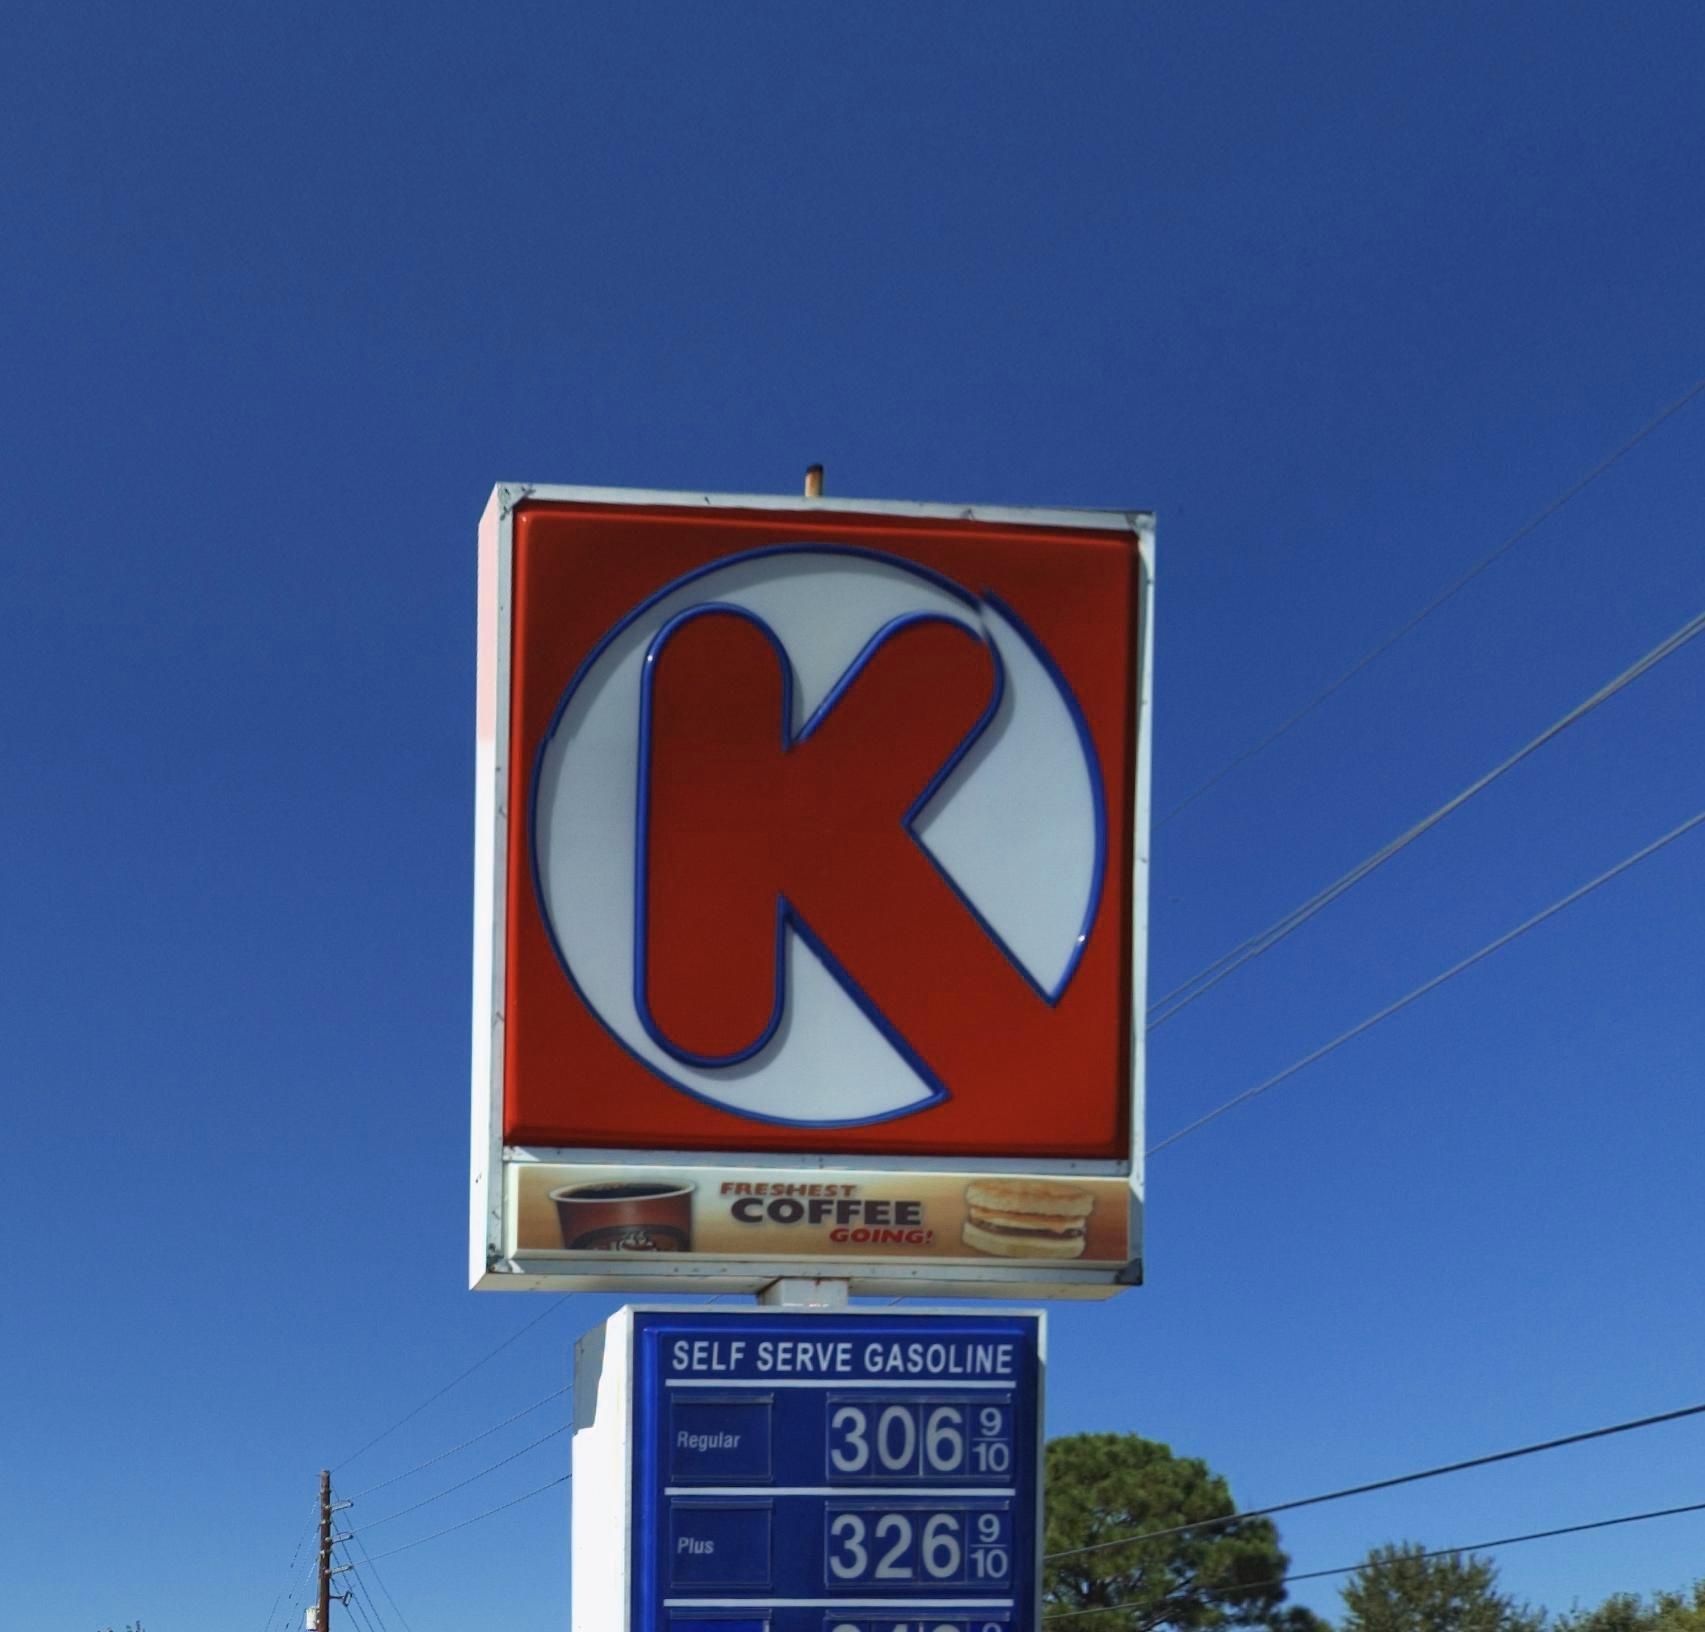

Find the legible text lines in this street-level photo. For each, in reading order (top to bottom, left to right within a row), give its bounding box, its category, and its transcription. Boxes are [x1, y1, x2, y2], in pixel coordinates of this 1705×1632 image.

[627, 593, 1010, 1073] BusinessName: K
[718, 1180, 859, 1198] None: FRESHEST
[730, 1196, 923, 1226] None: COFFEE
[829, 1225, 936, 1246] None: GOING!
[670, 1339, 1016, 1375] None: SELF SERVE GASOLINE
[675, 1429, 743, 1453] None: Regular
[829, 1404, 1011, 1475] None: 306 9/10
[676, 1535, 717, 1556] None: Plus
[827, 1511, 1010, 1580] None: 326 9/10